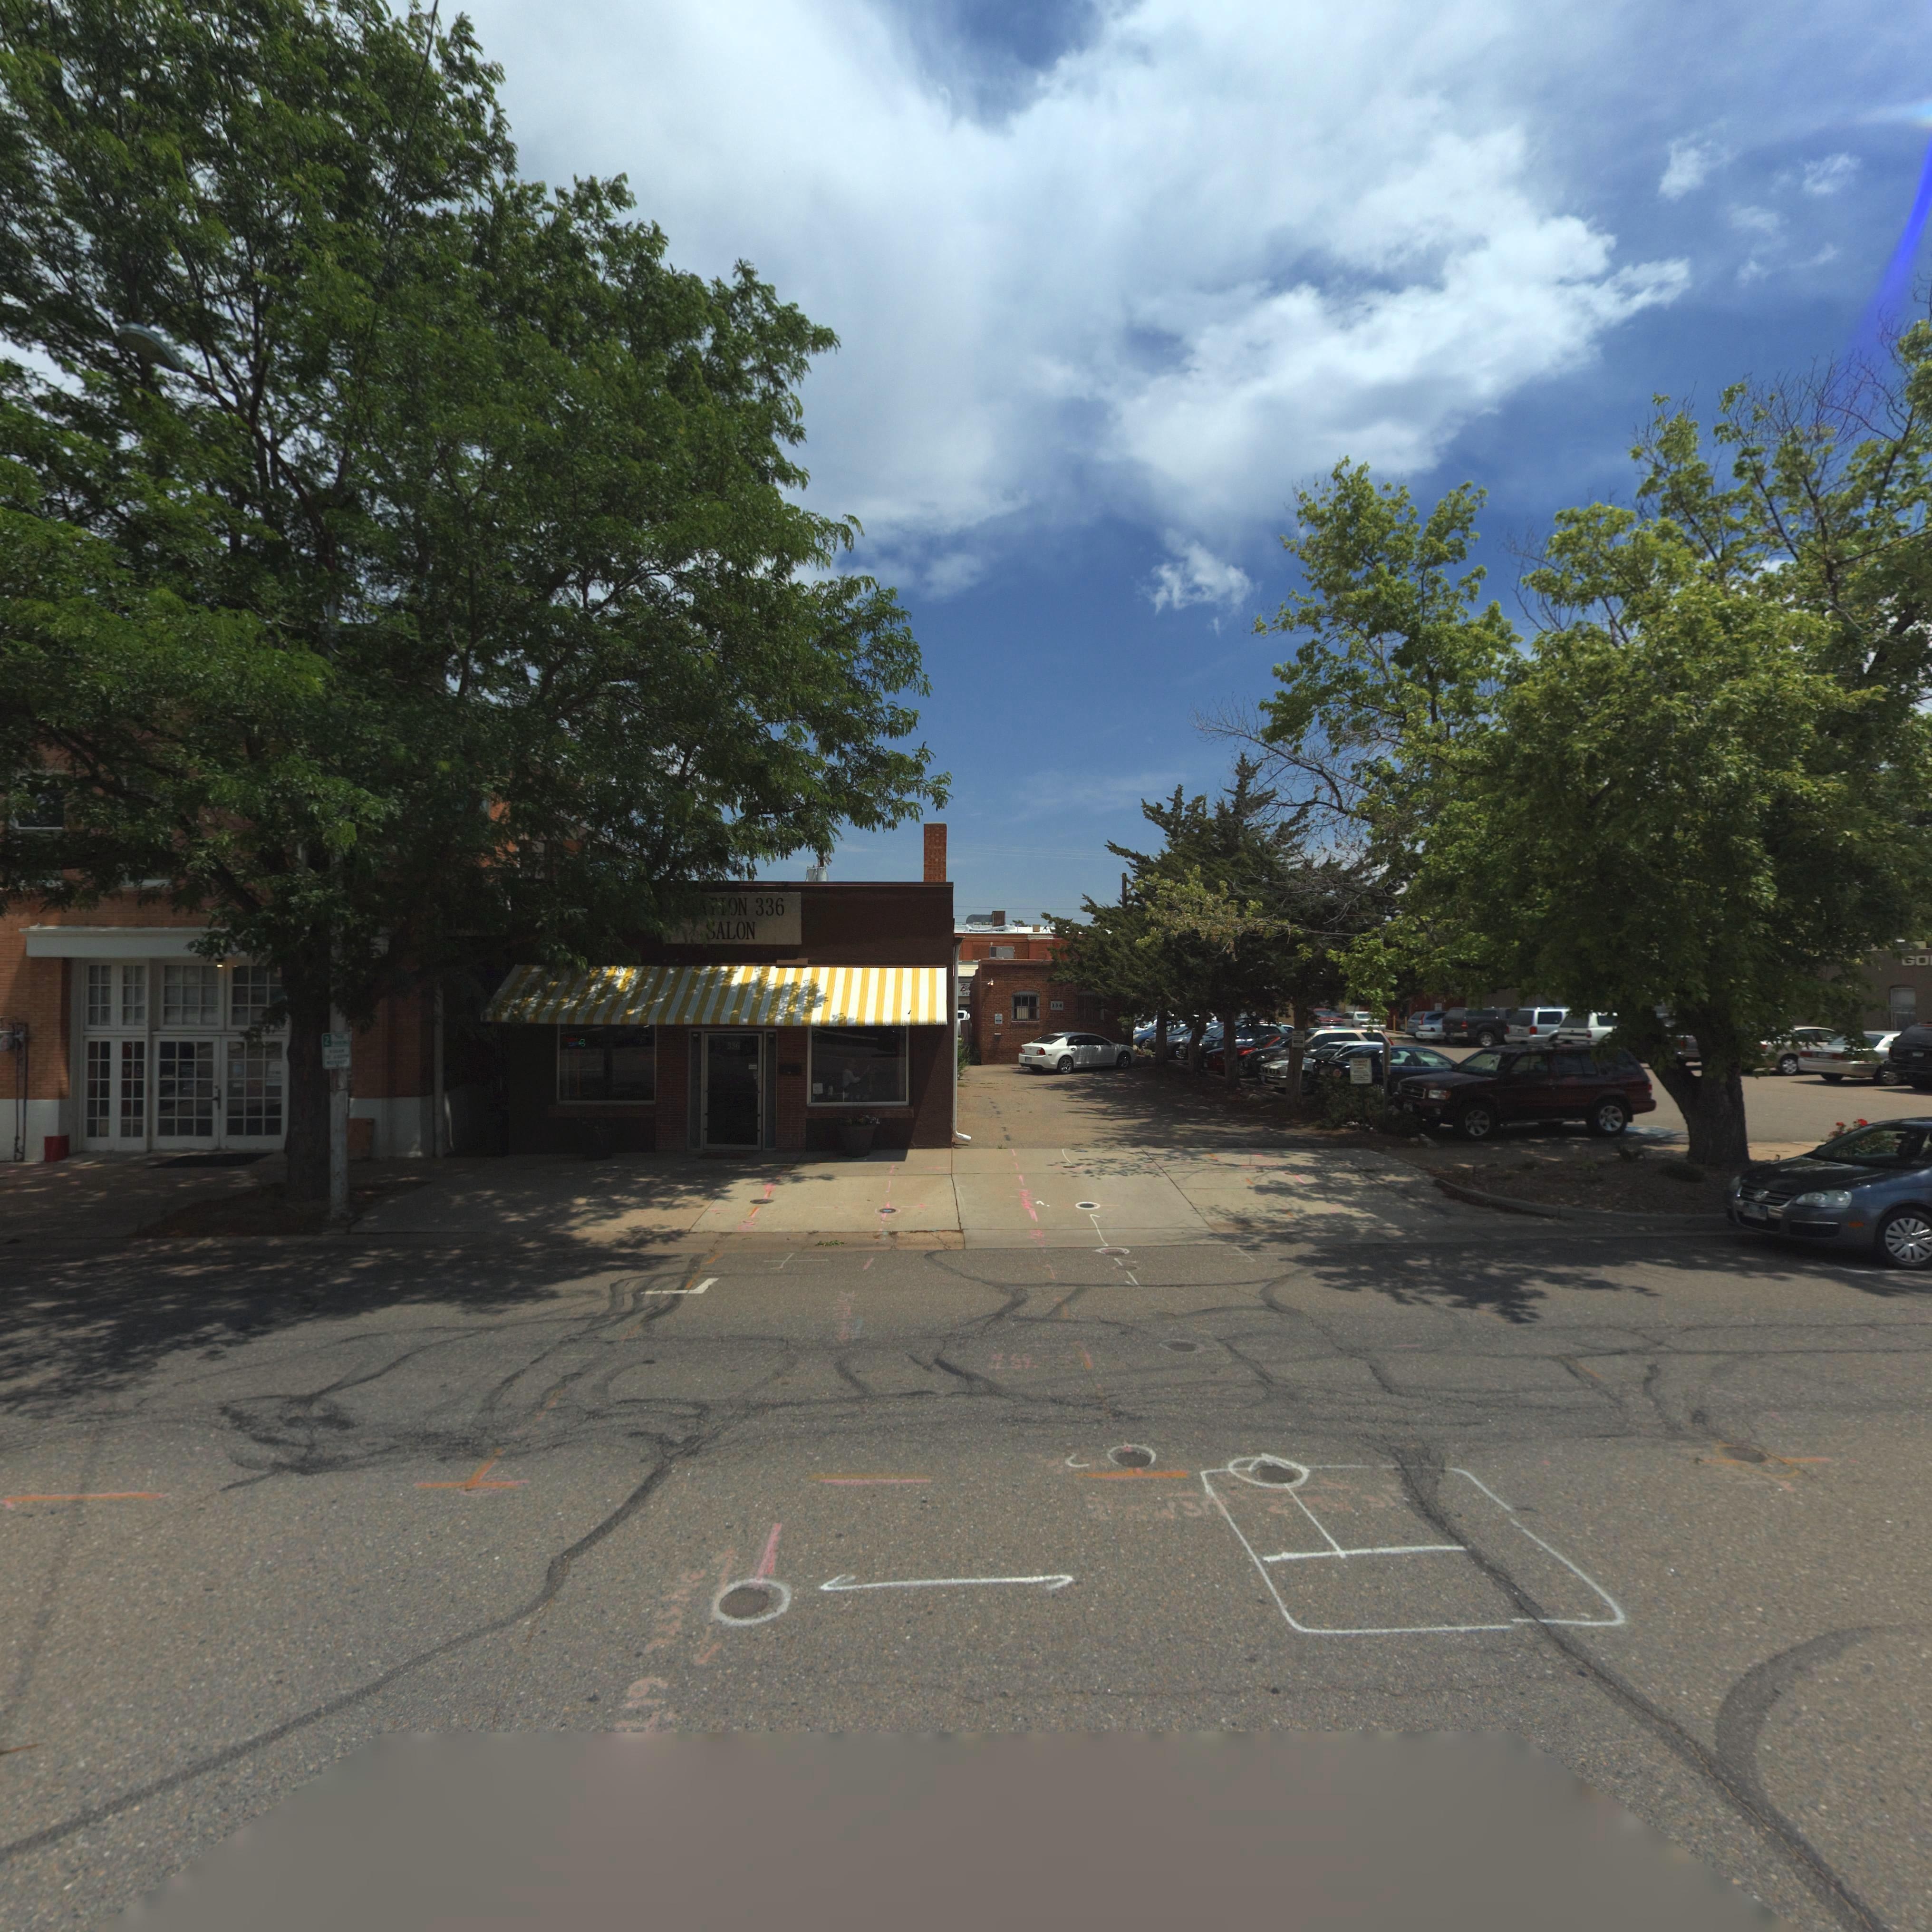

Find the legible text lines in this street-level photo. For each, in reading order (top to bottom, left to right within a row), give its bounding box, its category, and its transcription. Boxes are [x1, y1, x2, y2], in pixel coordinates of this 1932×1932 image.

[693, 896, 785, 918] BusinessName: ***ON 336
[754, 896, 785, 917] StreetNumber: 336
[705, 921, 755, 940] BusinessName: *ALON
[960, 983, 967, 992] BusinessName: B
[1051, 1003, 1063, 1008] StreetNumber: 334
[727, 1042, 740, 1049] StreetNumber: 336